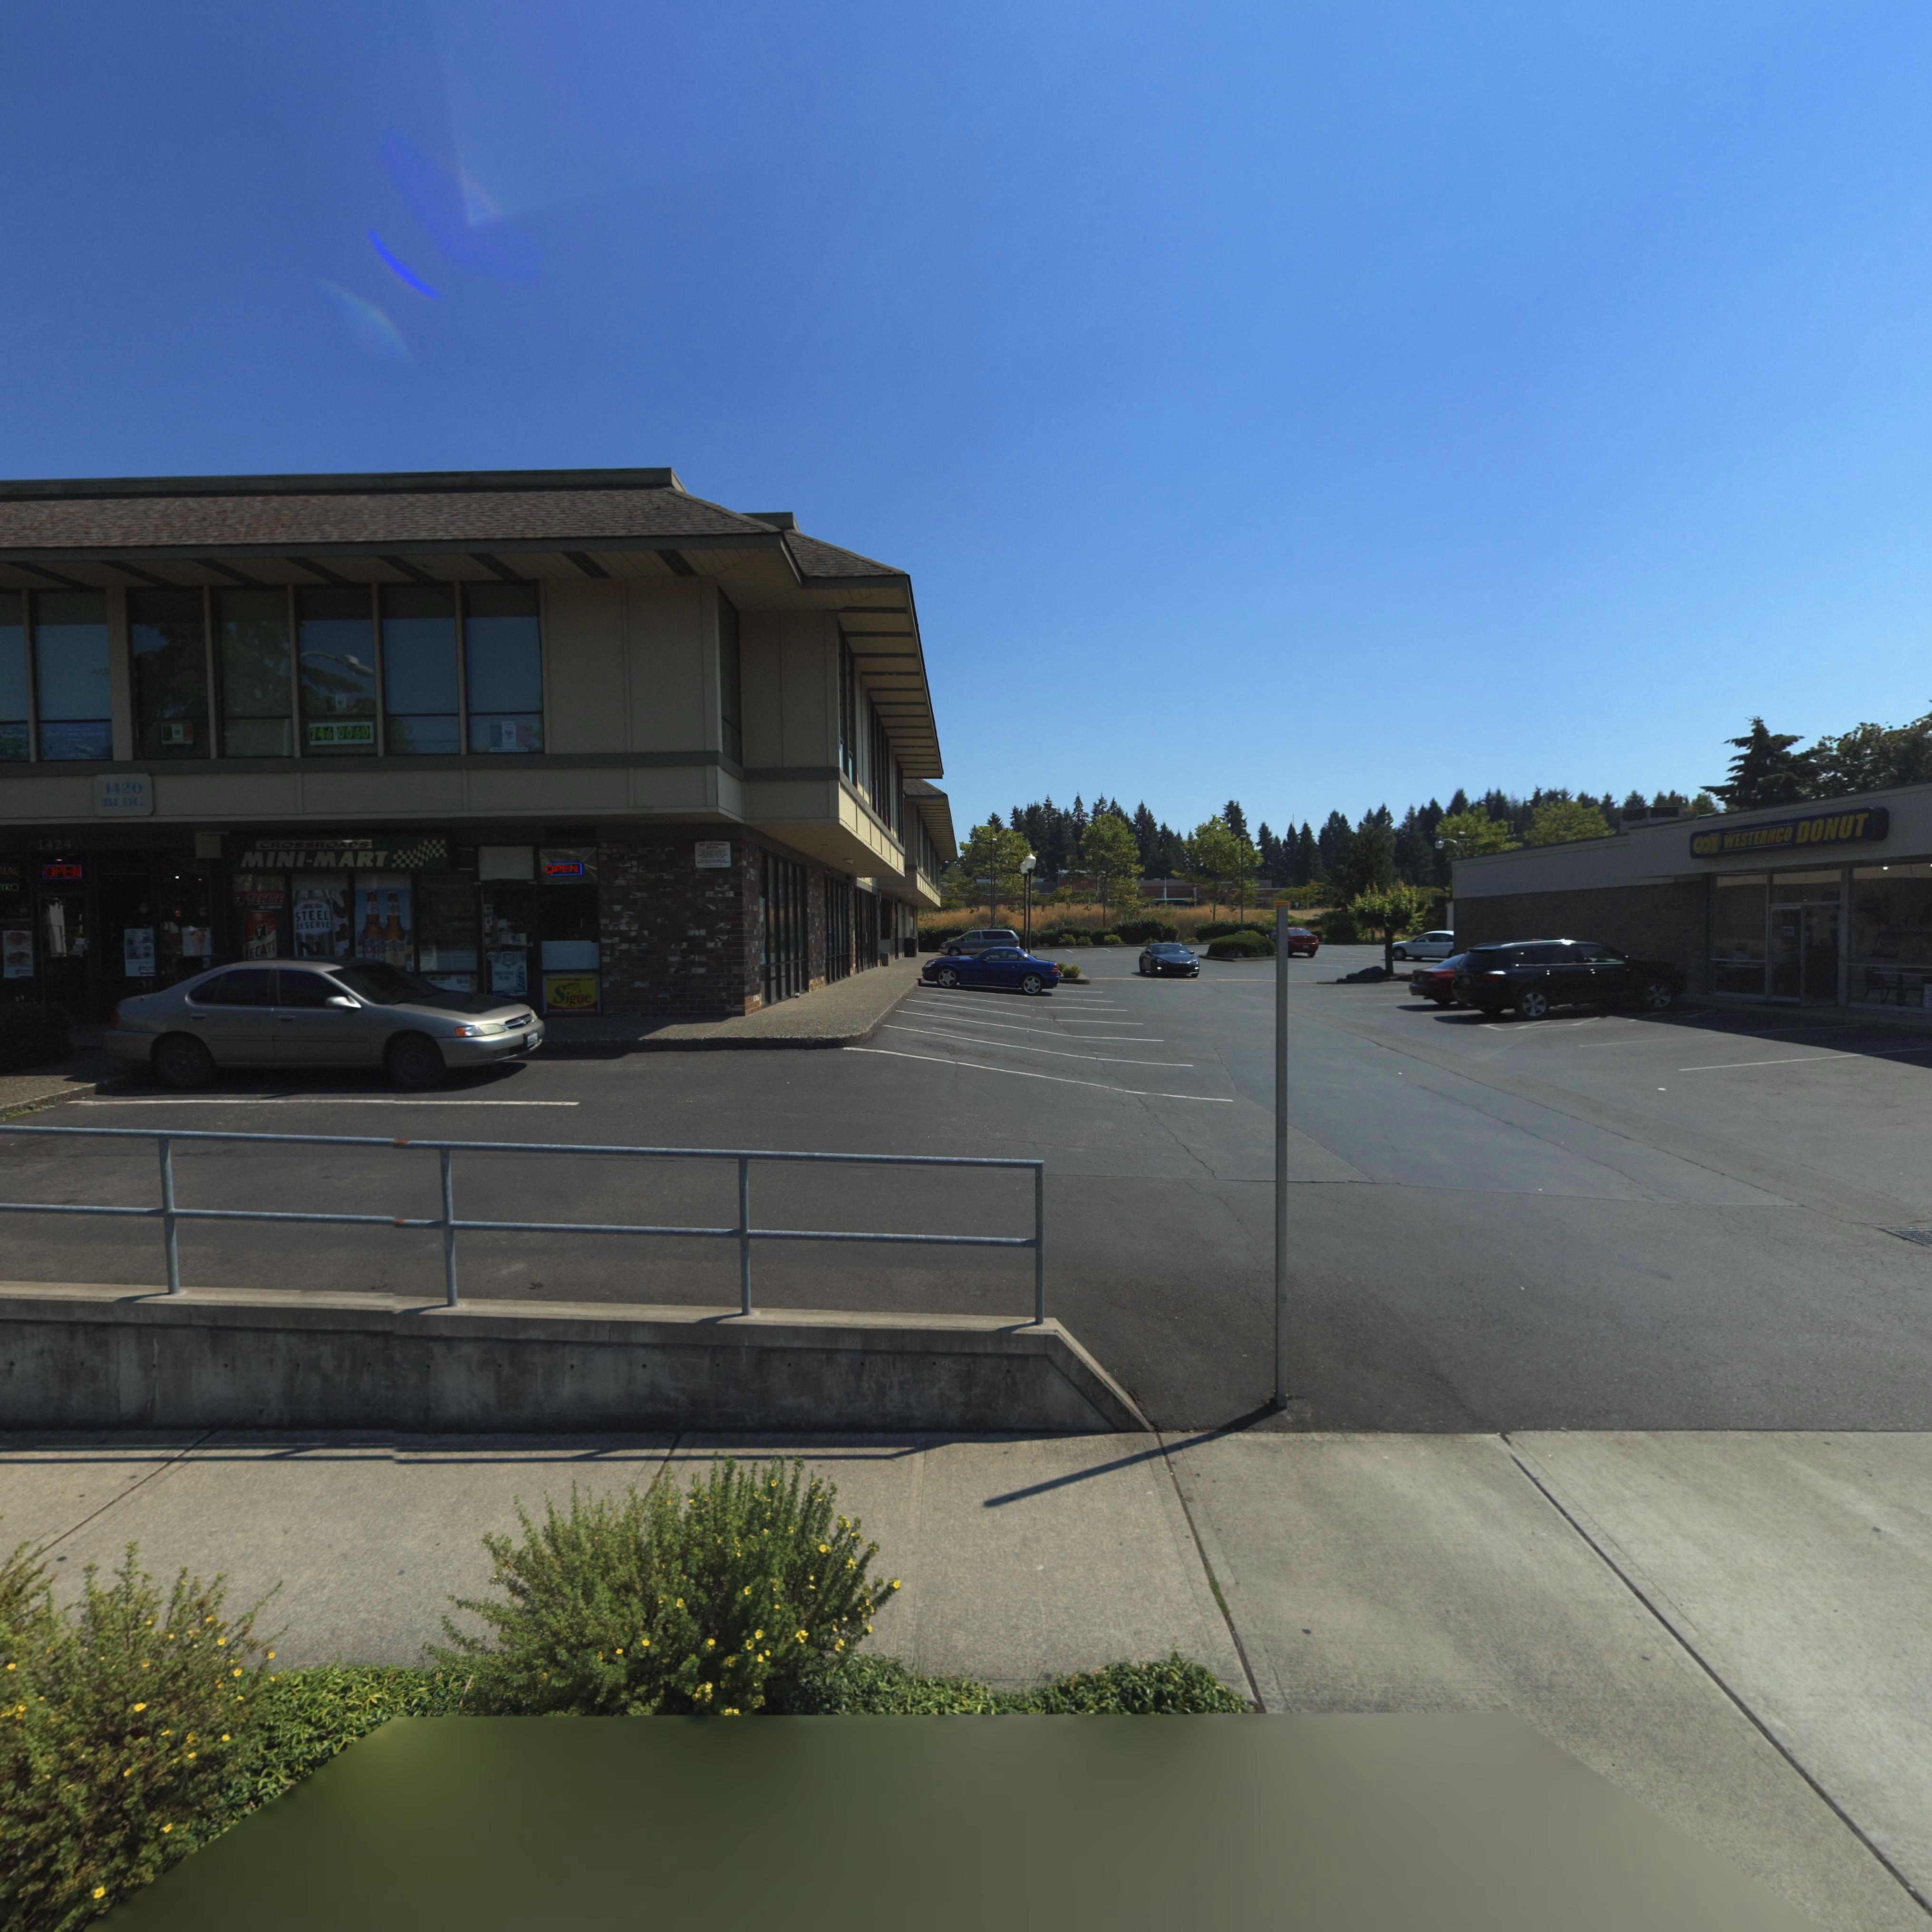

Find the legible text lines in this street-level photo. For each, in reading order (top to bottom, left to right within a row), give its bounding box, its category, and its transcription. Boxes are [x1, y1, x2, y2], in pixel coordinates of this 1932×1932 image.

[105, 782, 143, 794] StreetNumber: 1420
[1793, 811, 1868, 844] BusinessName: DONUT
[38, 838, 72, 850] StreetNumber: 1424
[257, 838, 369, 850] BusinessName: CROSSROADS
[1722, 825, 1793, 850] BusinessName: WESTERNCO
[241, 851, 389, 869] BusinessName: MINI-MART